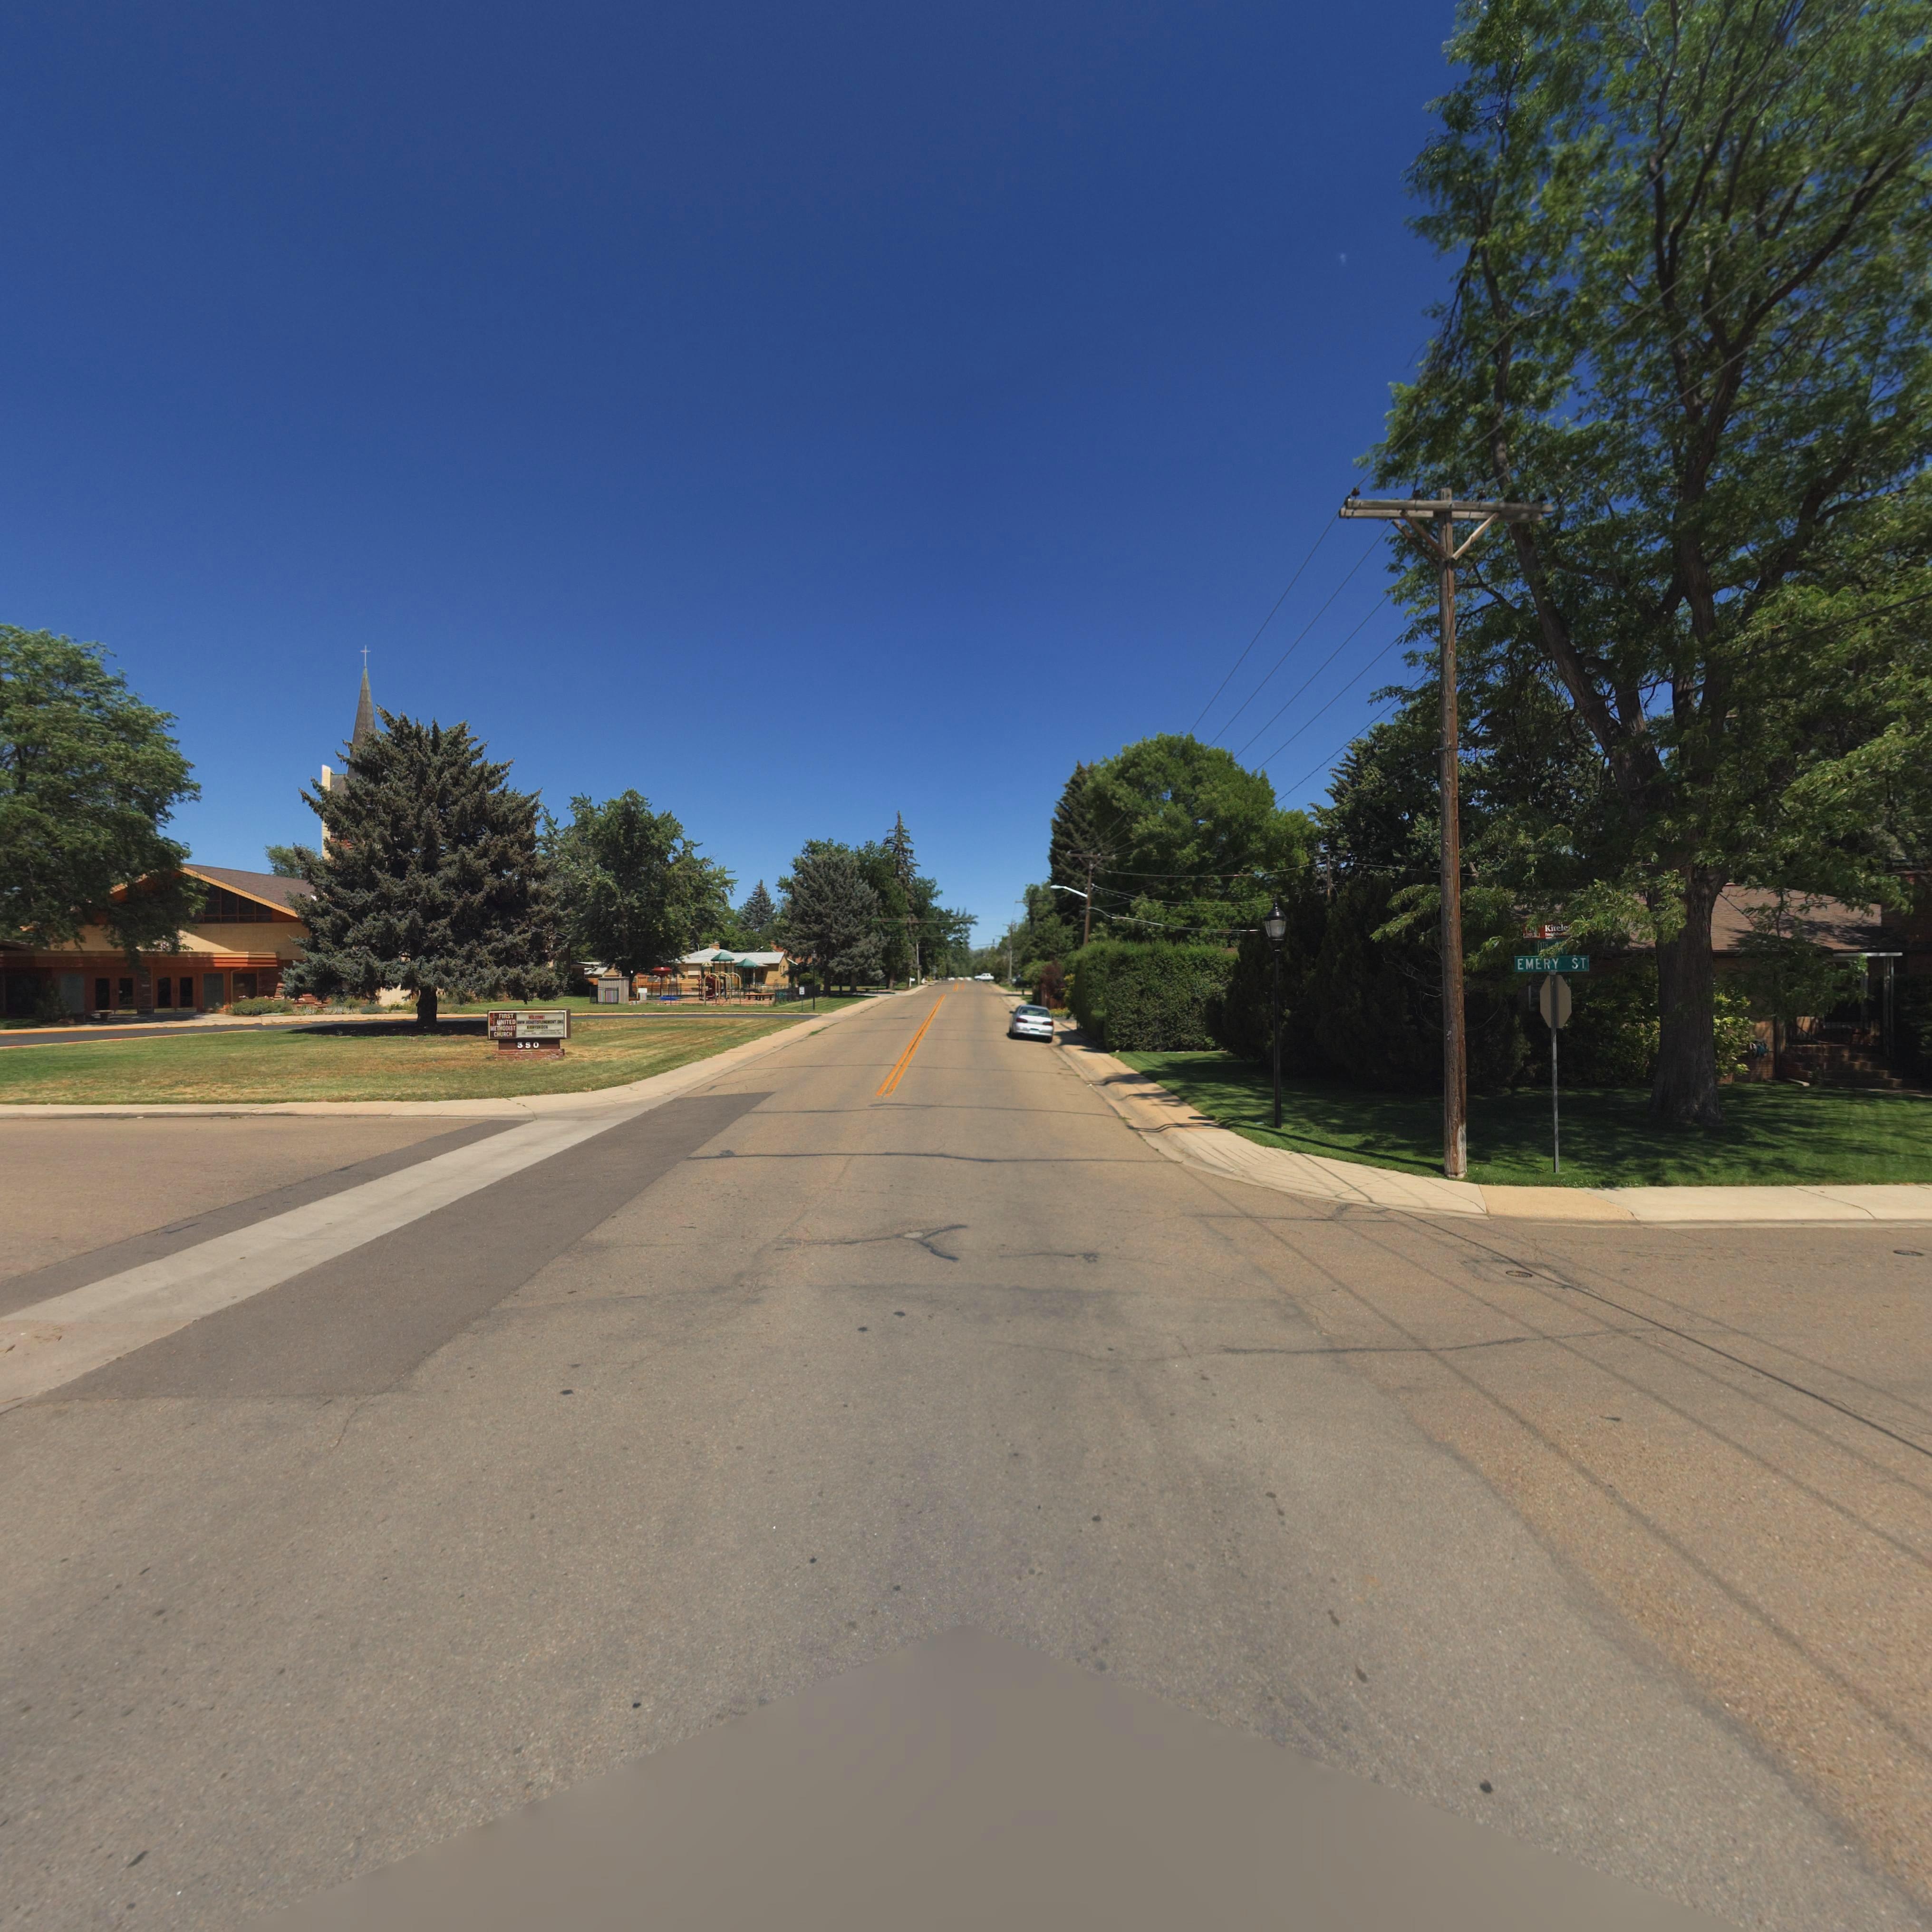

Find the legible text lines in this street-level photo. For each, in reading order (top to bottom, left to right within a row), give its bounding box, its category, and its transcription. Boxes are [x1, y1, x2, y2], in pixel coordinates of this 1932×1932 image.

[1536, 941, 1548, 953] StreetName: 1*TH
[1517, 957, 1587, 970] StreetName: EMERY ST
[499, 1013, 513, 1019] BusinessName: FIRST
[496, 1019, 515, 1024] BusinessName: UNITED
[490, 1025, 516, 1031] BusinessName: METHODIST
[493, 1031, 512, 1037] BusinessName: CHURCH
[516, 1042, 539, 1049] StreetNumber: 3*0